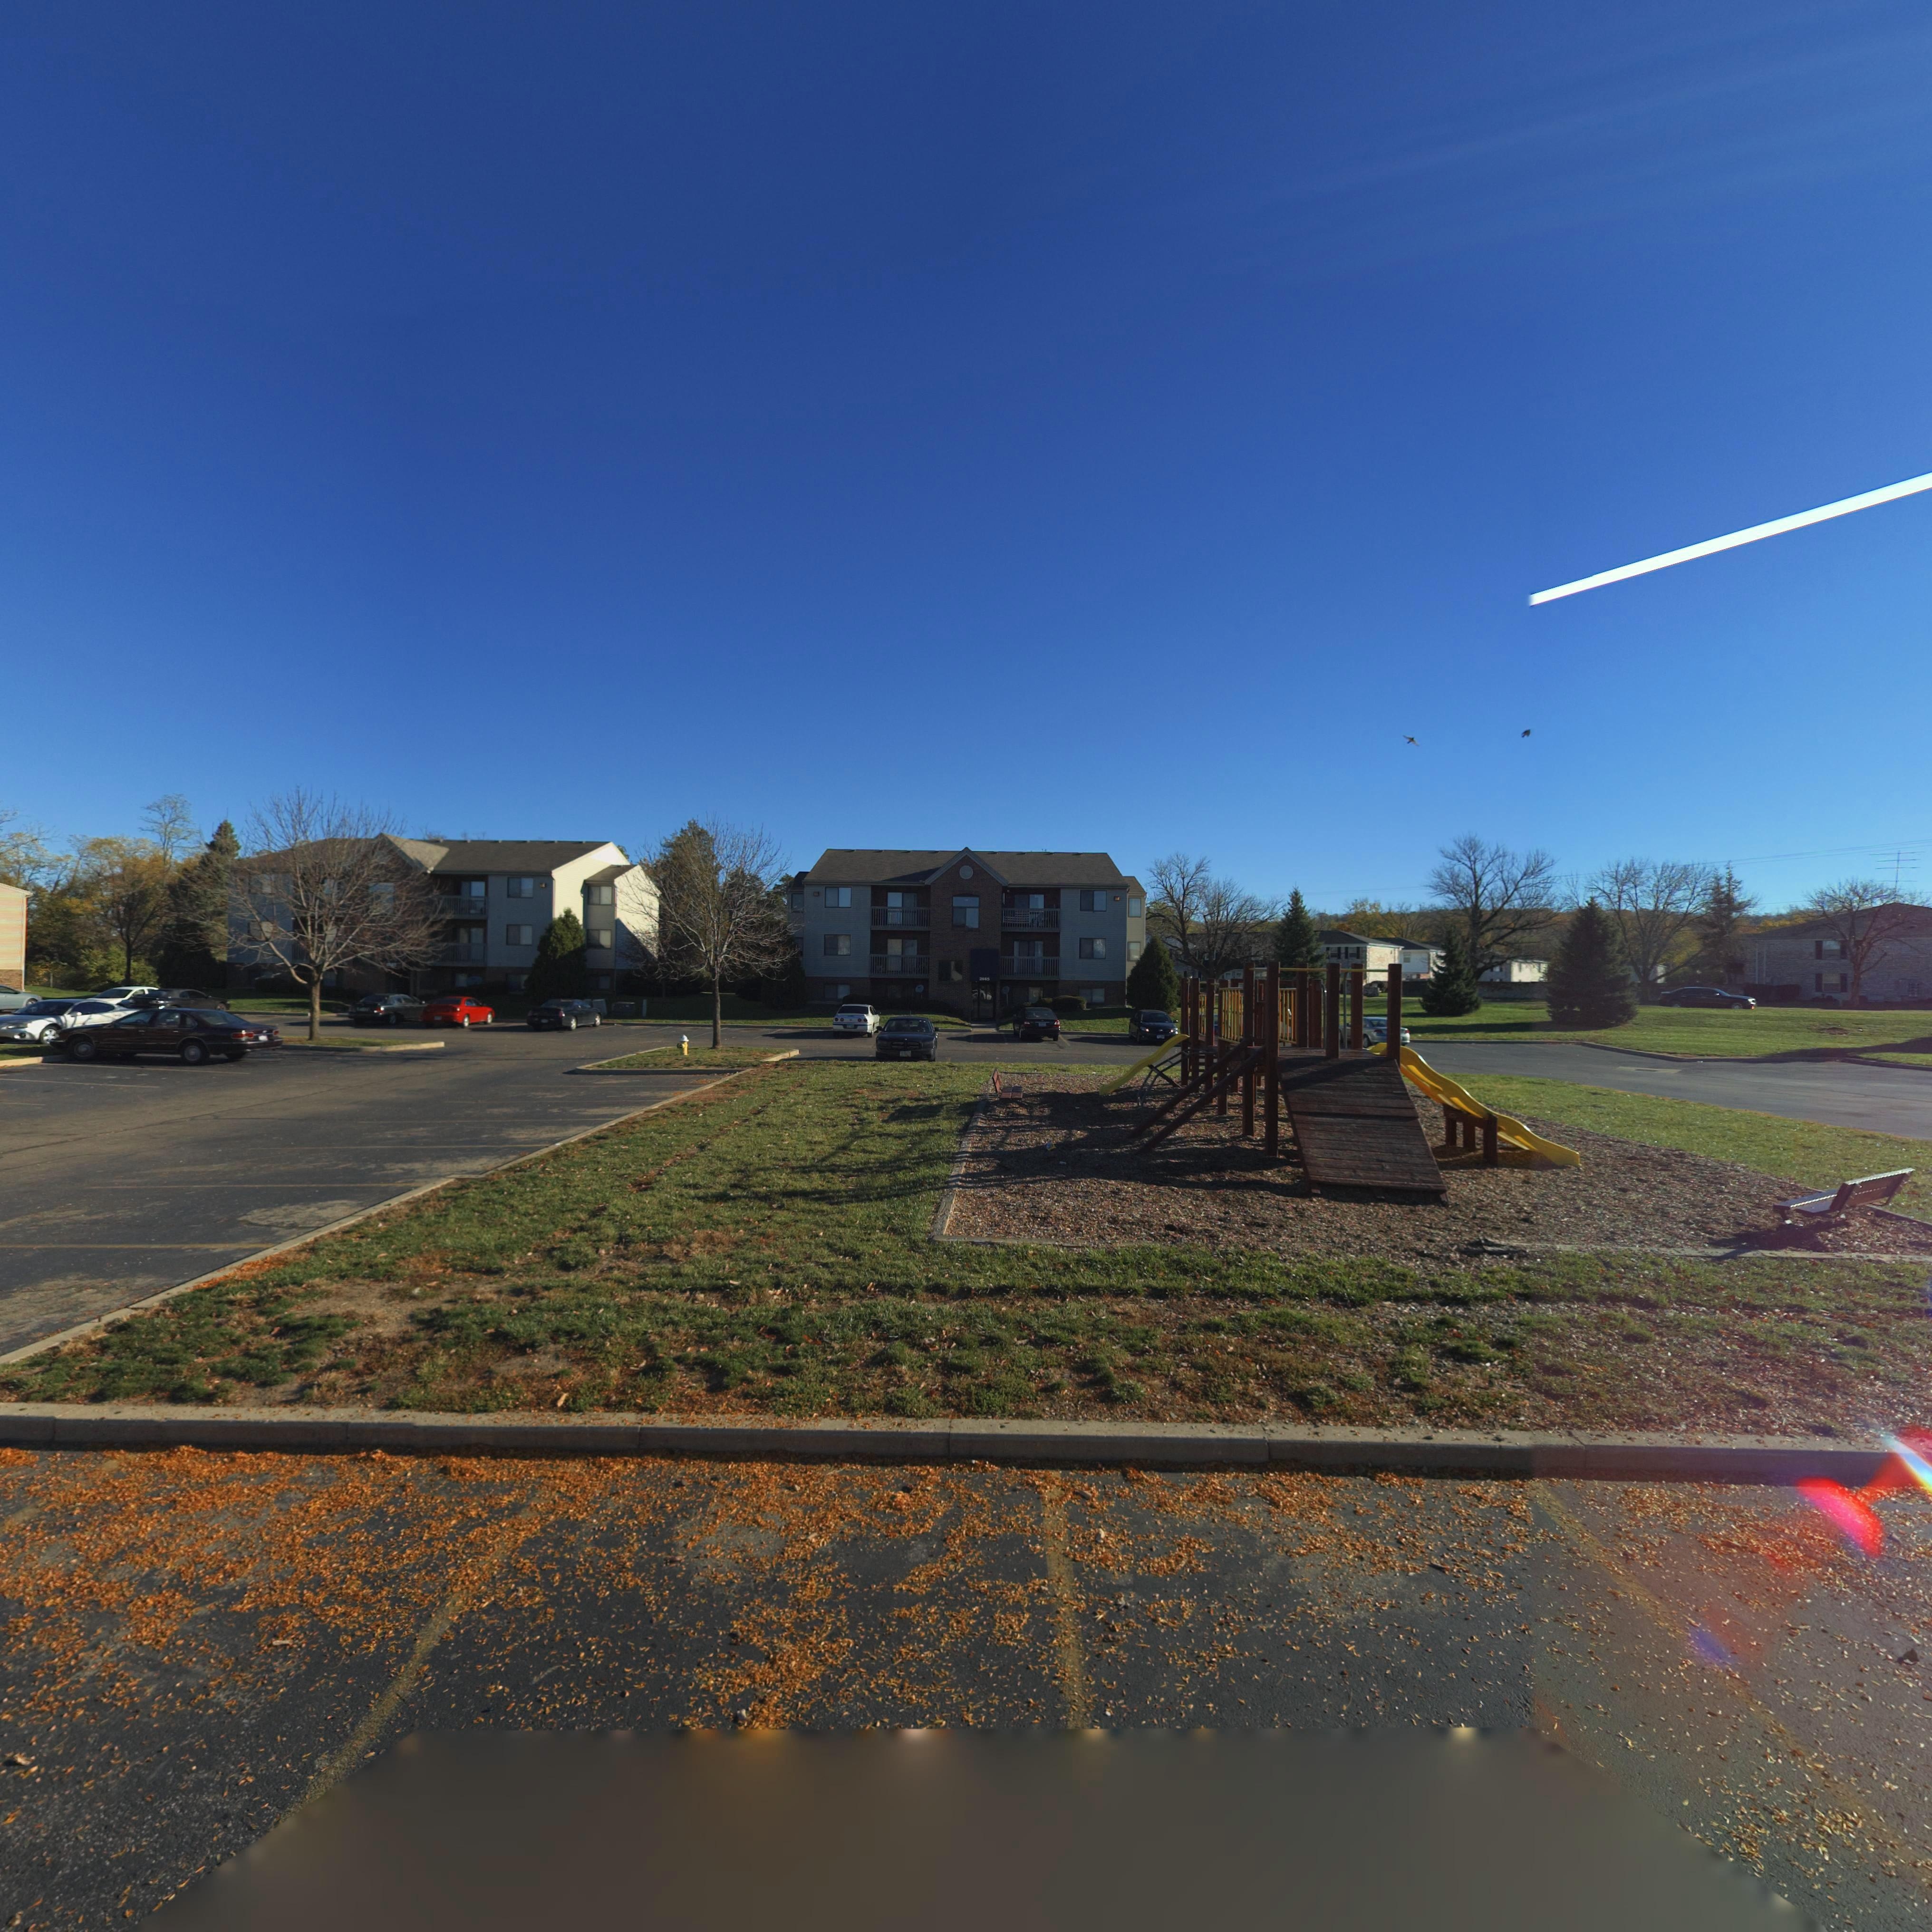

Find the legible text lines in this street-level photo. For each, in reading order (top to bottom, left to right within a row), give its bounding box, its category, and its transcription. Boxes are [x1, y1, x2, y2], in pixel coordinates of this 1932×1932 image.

[979, 976, 990, 981] StreetNumber: 26**